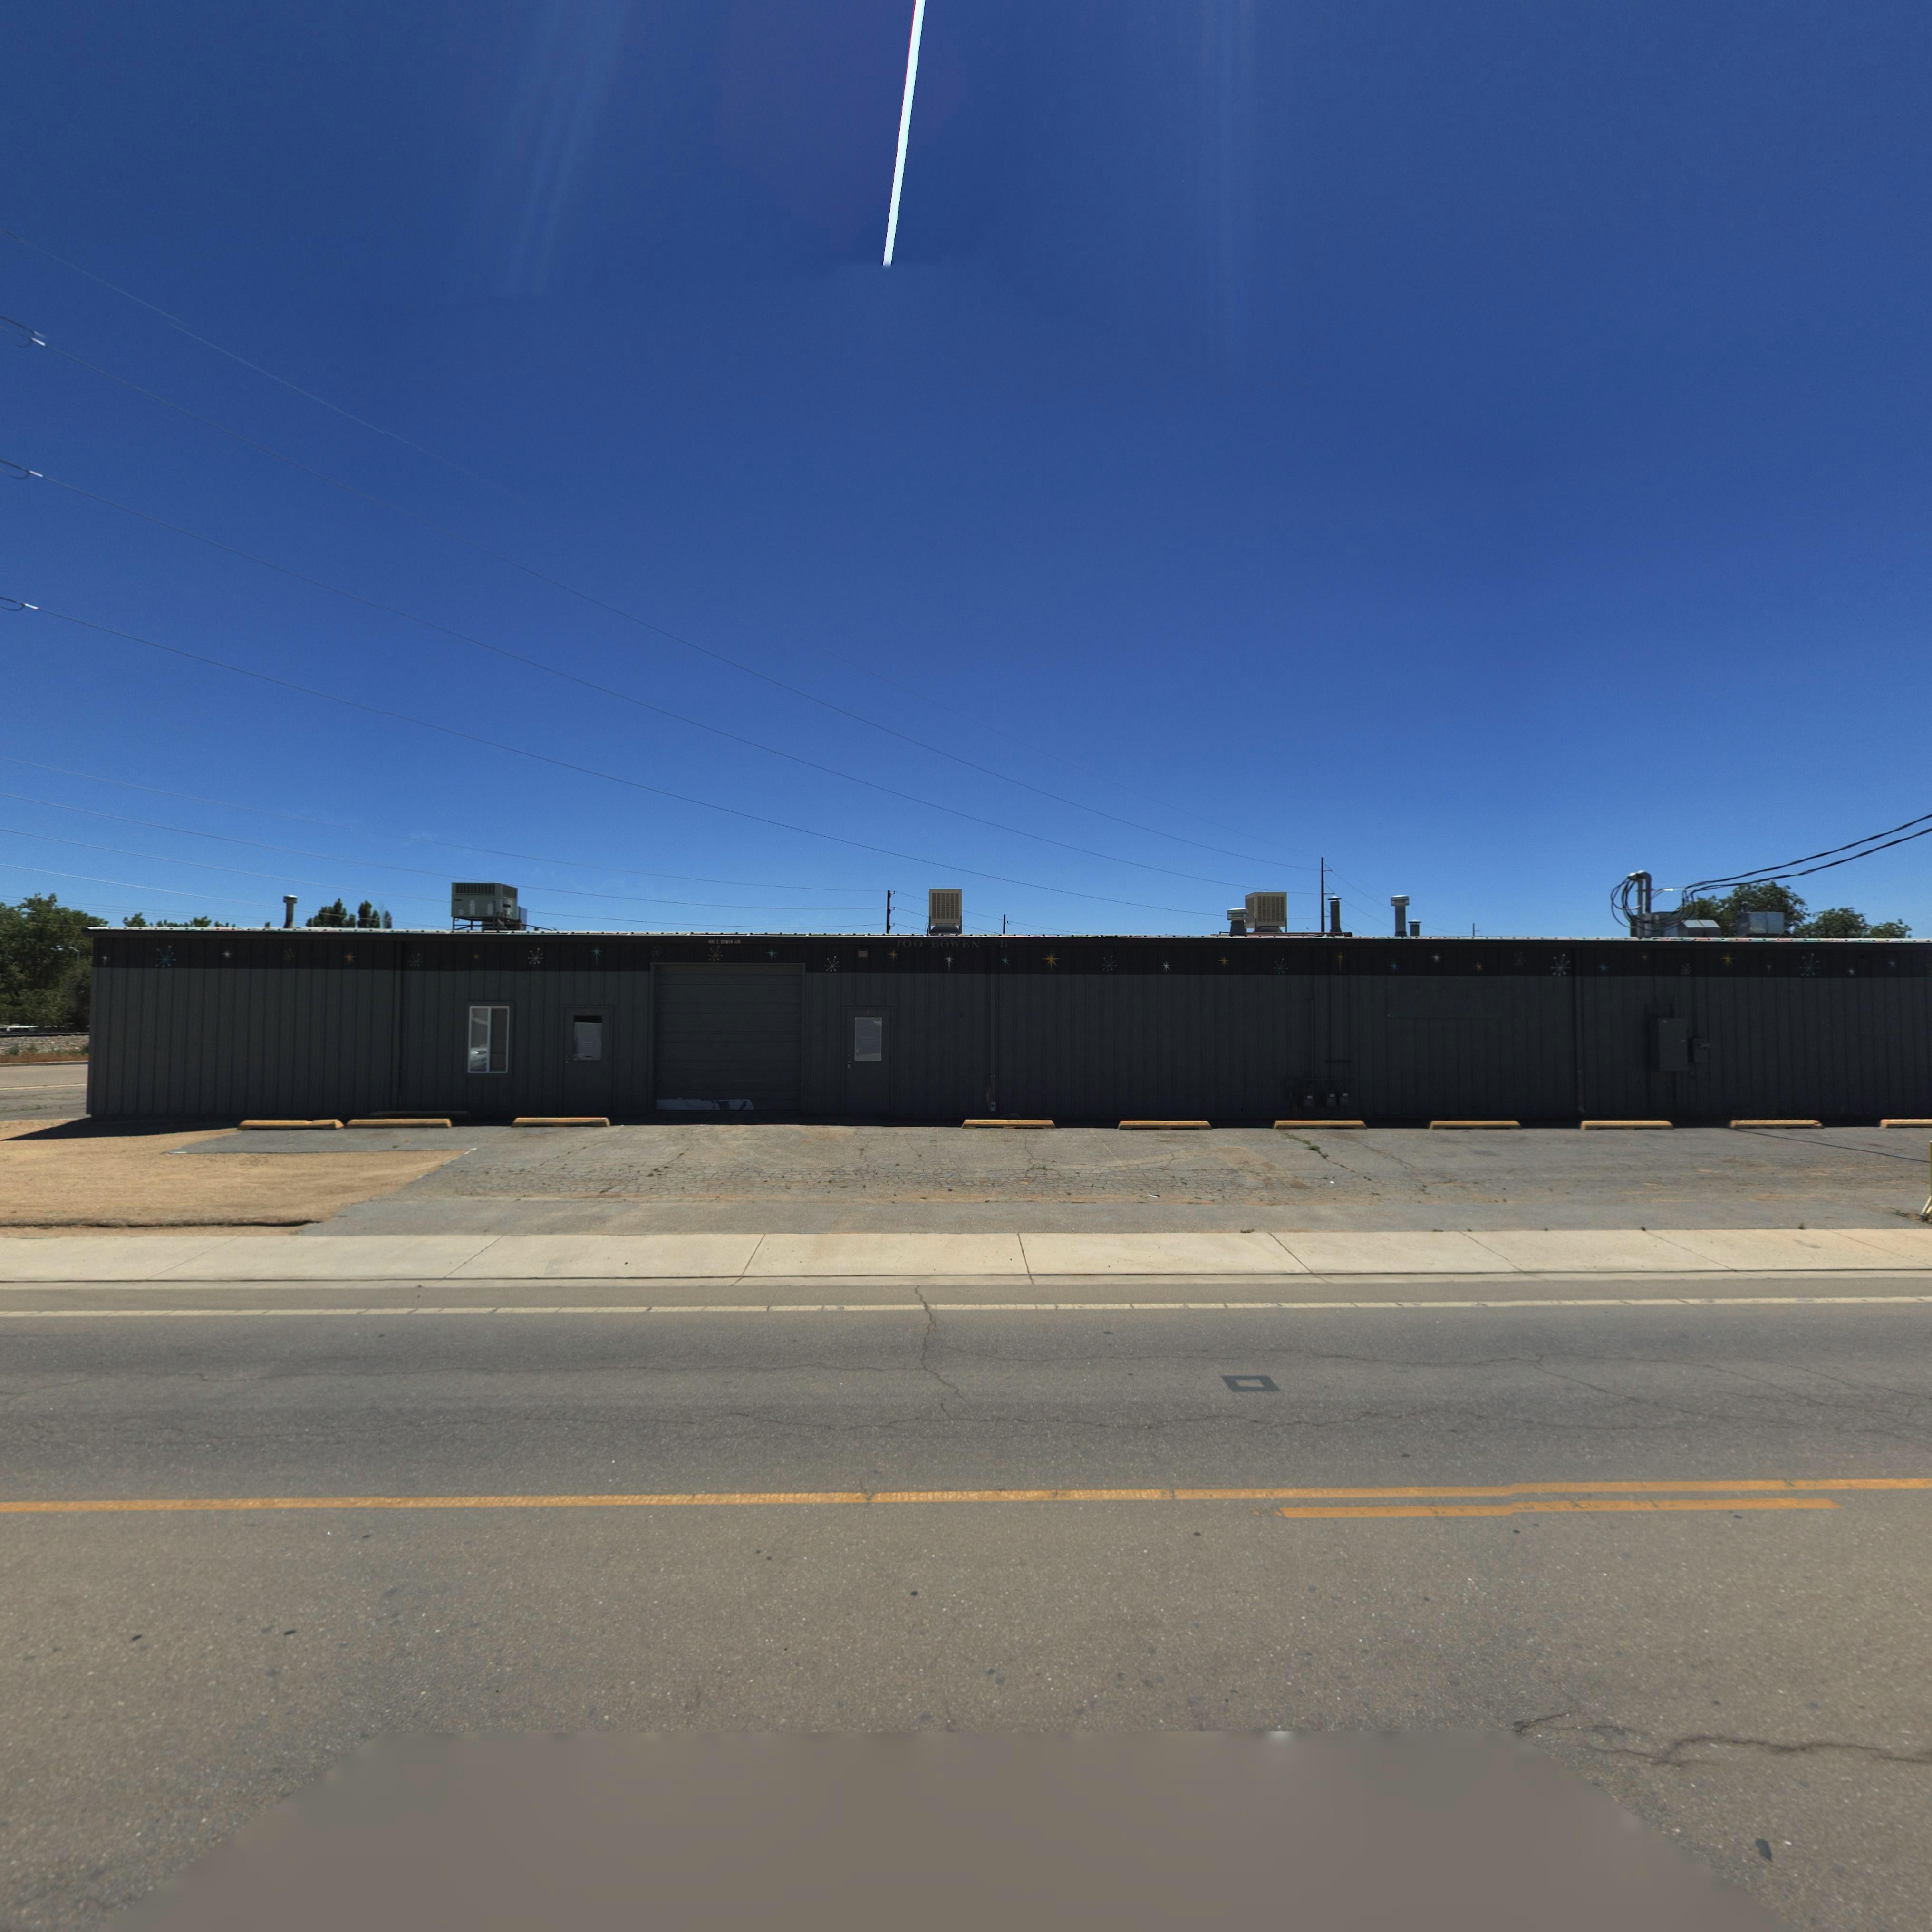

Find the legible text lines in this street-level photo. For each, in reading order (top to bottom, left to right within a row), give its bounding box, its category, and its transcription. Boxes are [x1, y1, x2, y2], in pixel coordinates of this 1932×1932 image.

[707, 939, 715, 944] StreetNumber: 100
[715, 939, 741, 944] StreetName: S BOSTON CIR
[896, 939, 923, 948] StreetNumber: 100
[931, 938, 980, 948] StreetName: BOWEN